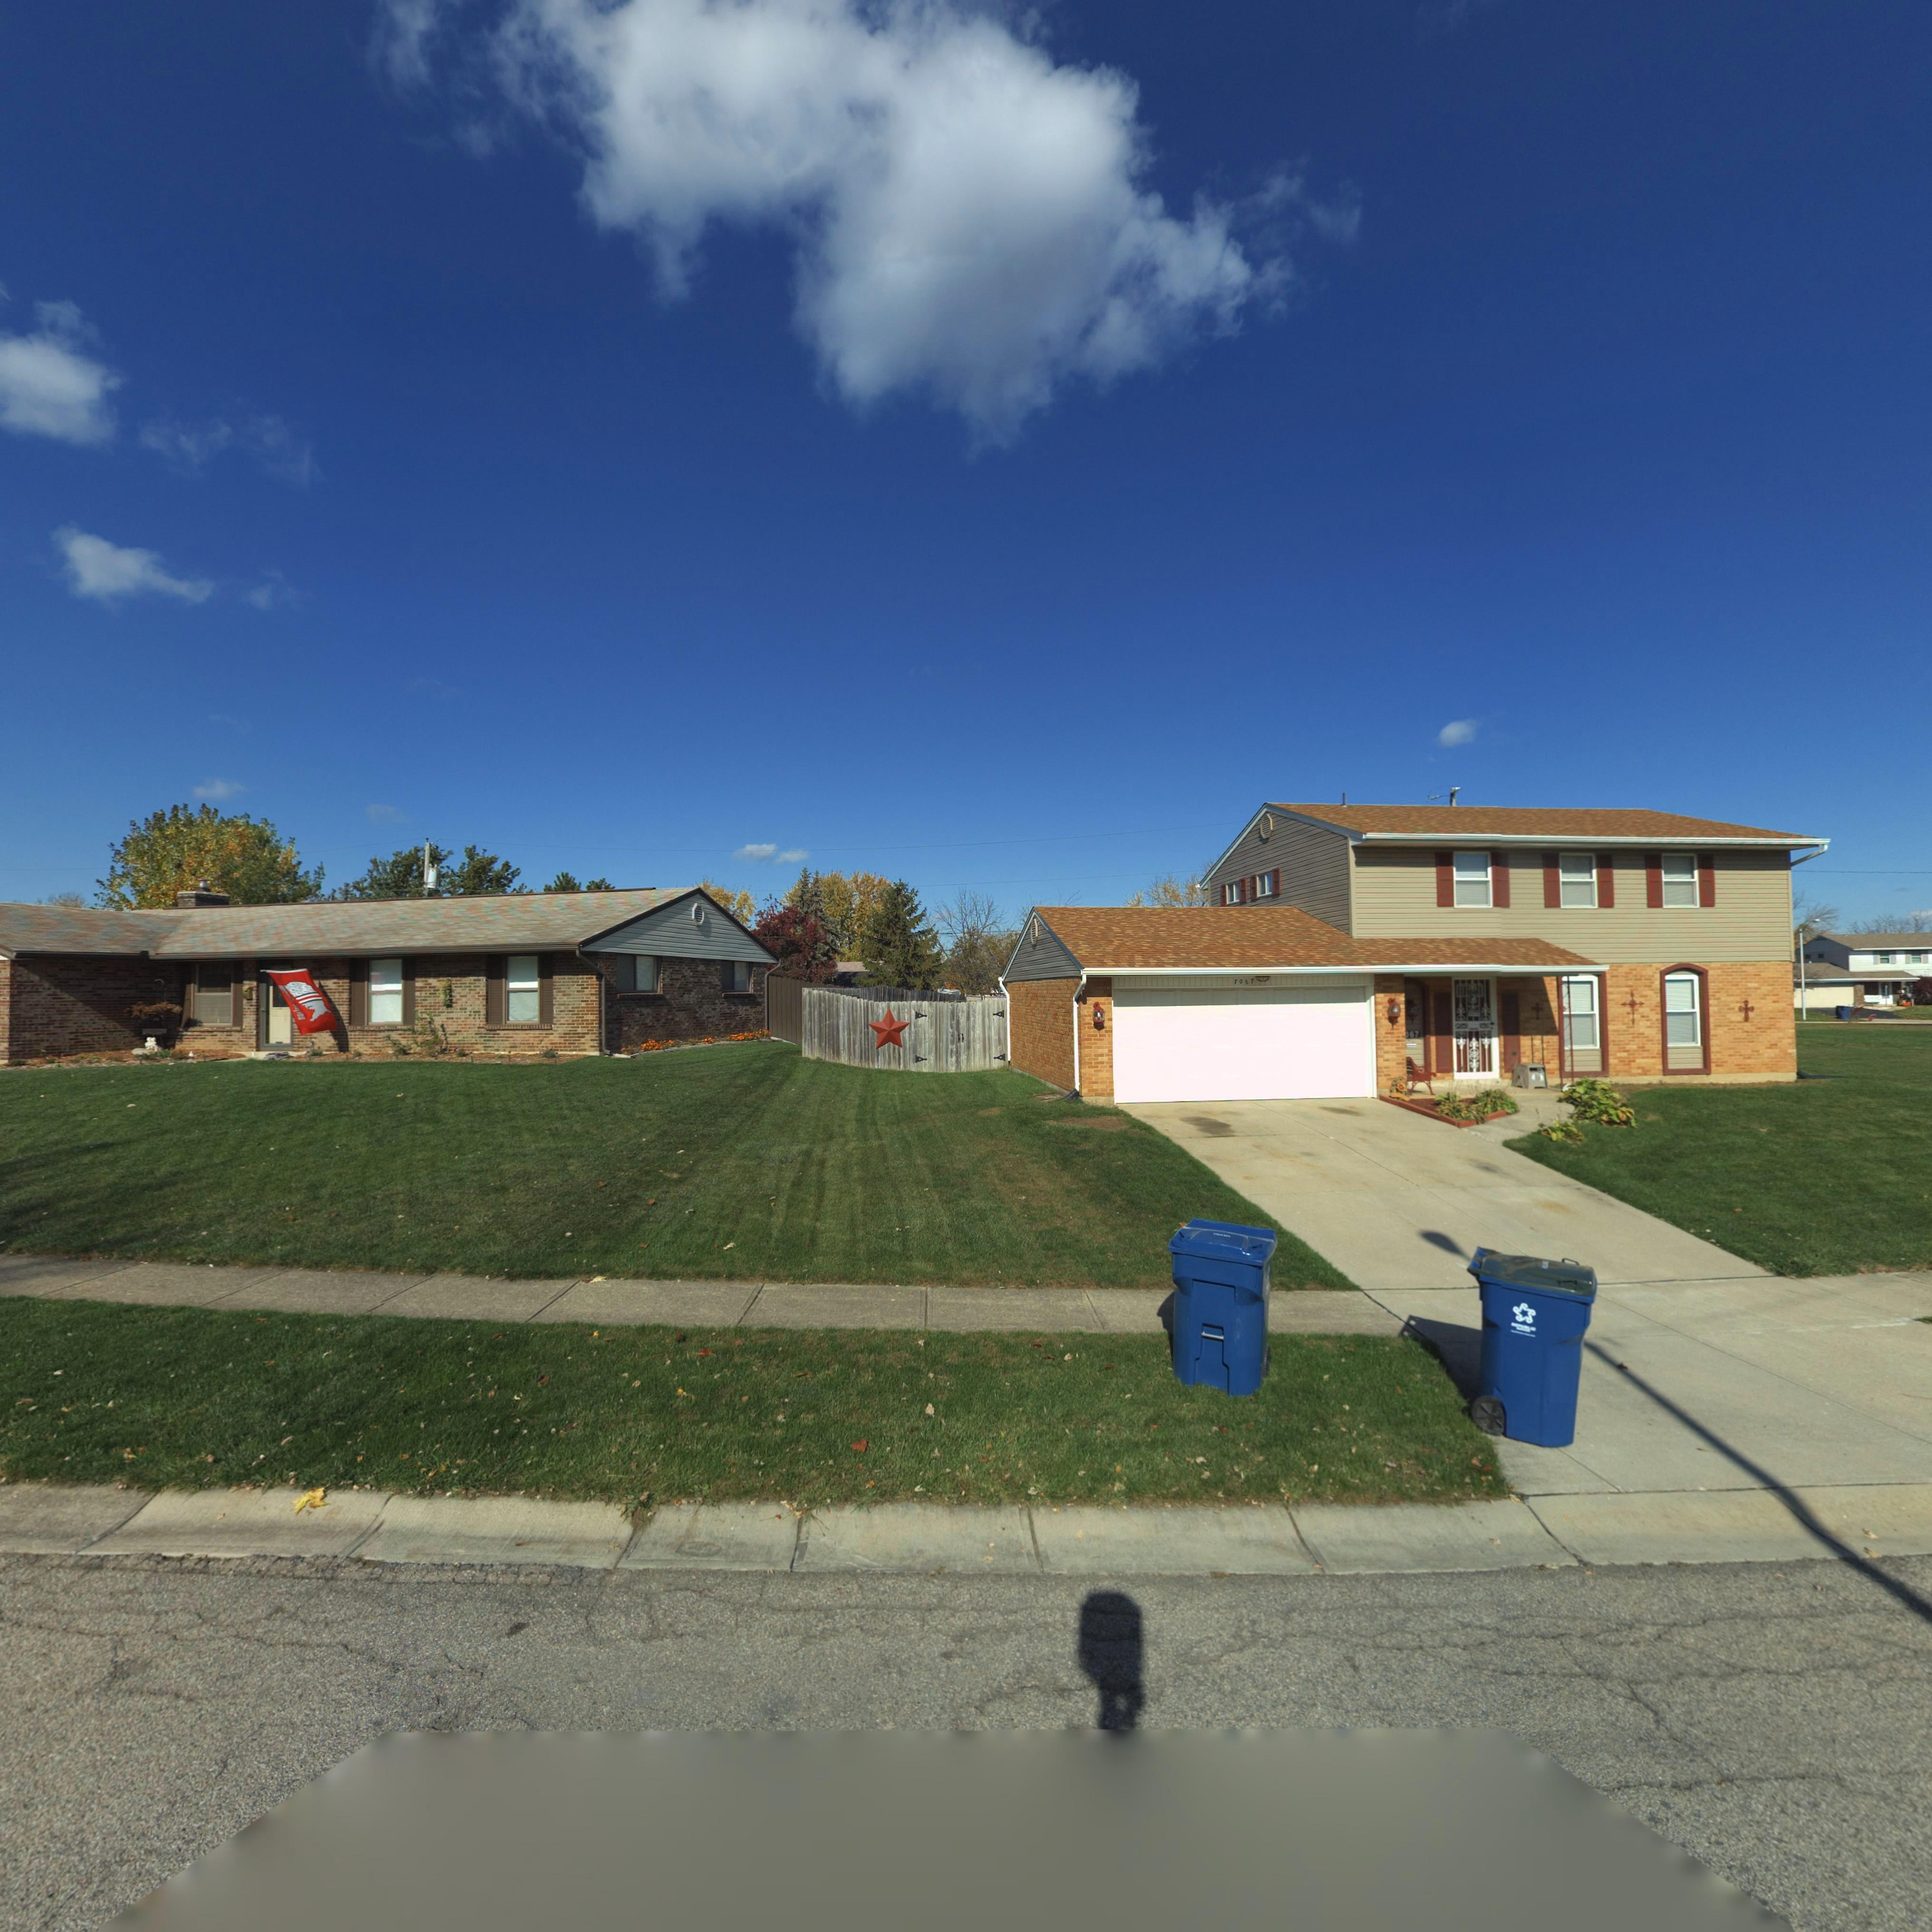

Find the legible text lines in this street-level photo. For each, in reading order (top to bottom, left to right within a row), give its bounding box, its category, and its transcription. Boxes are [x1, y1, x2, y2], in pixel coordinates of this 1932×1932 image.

[1233, 977, 1255, 986] StreetNumber: 7067
[1409, 1030, 1420, 1039] StreetNumber: 67